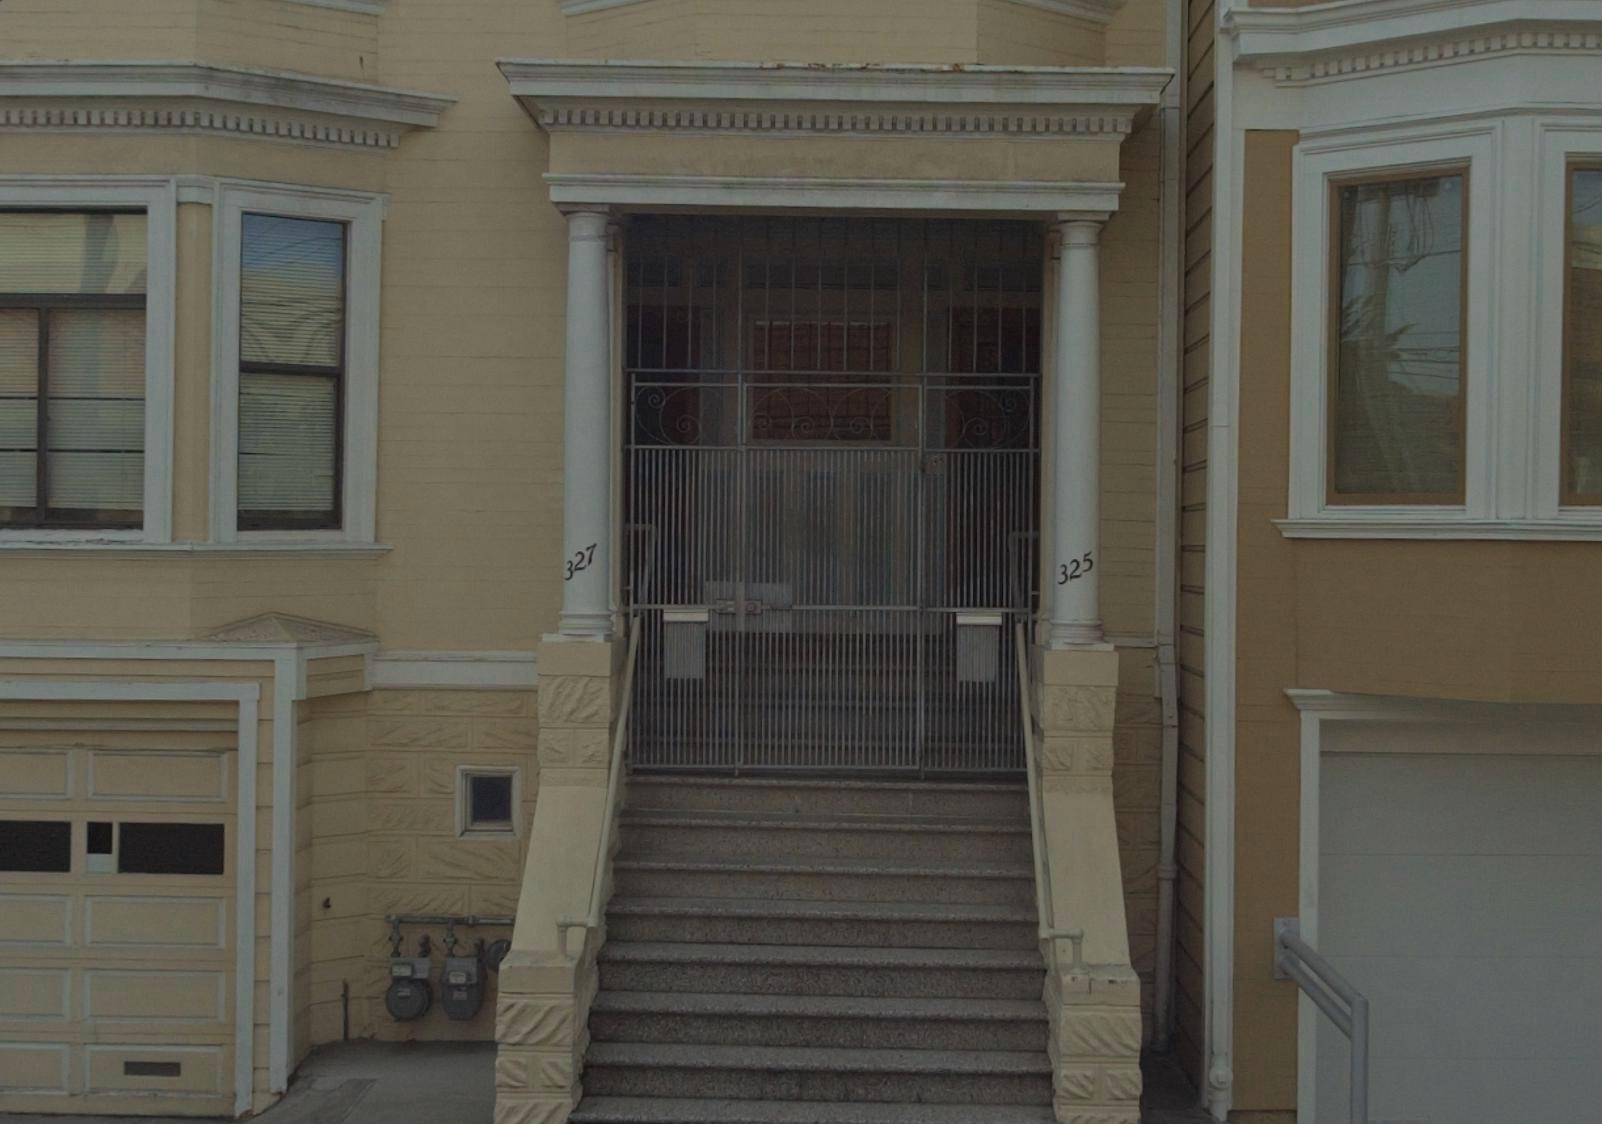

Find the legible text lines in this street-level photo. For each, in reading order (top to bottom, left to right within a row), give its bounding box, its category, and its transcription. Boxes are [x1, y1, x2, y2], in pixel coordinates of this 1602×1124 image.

[564, 540, 599, 584] StreetNumber: 327
[1056, 549, 1094, 587] StreetNumber: 325